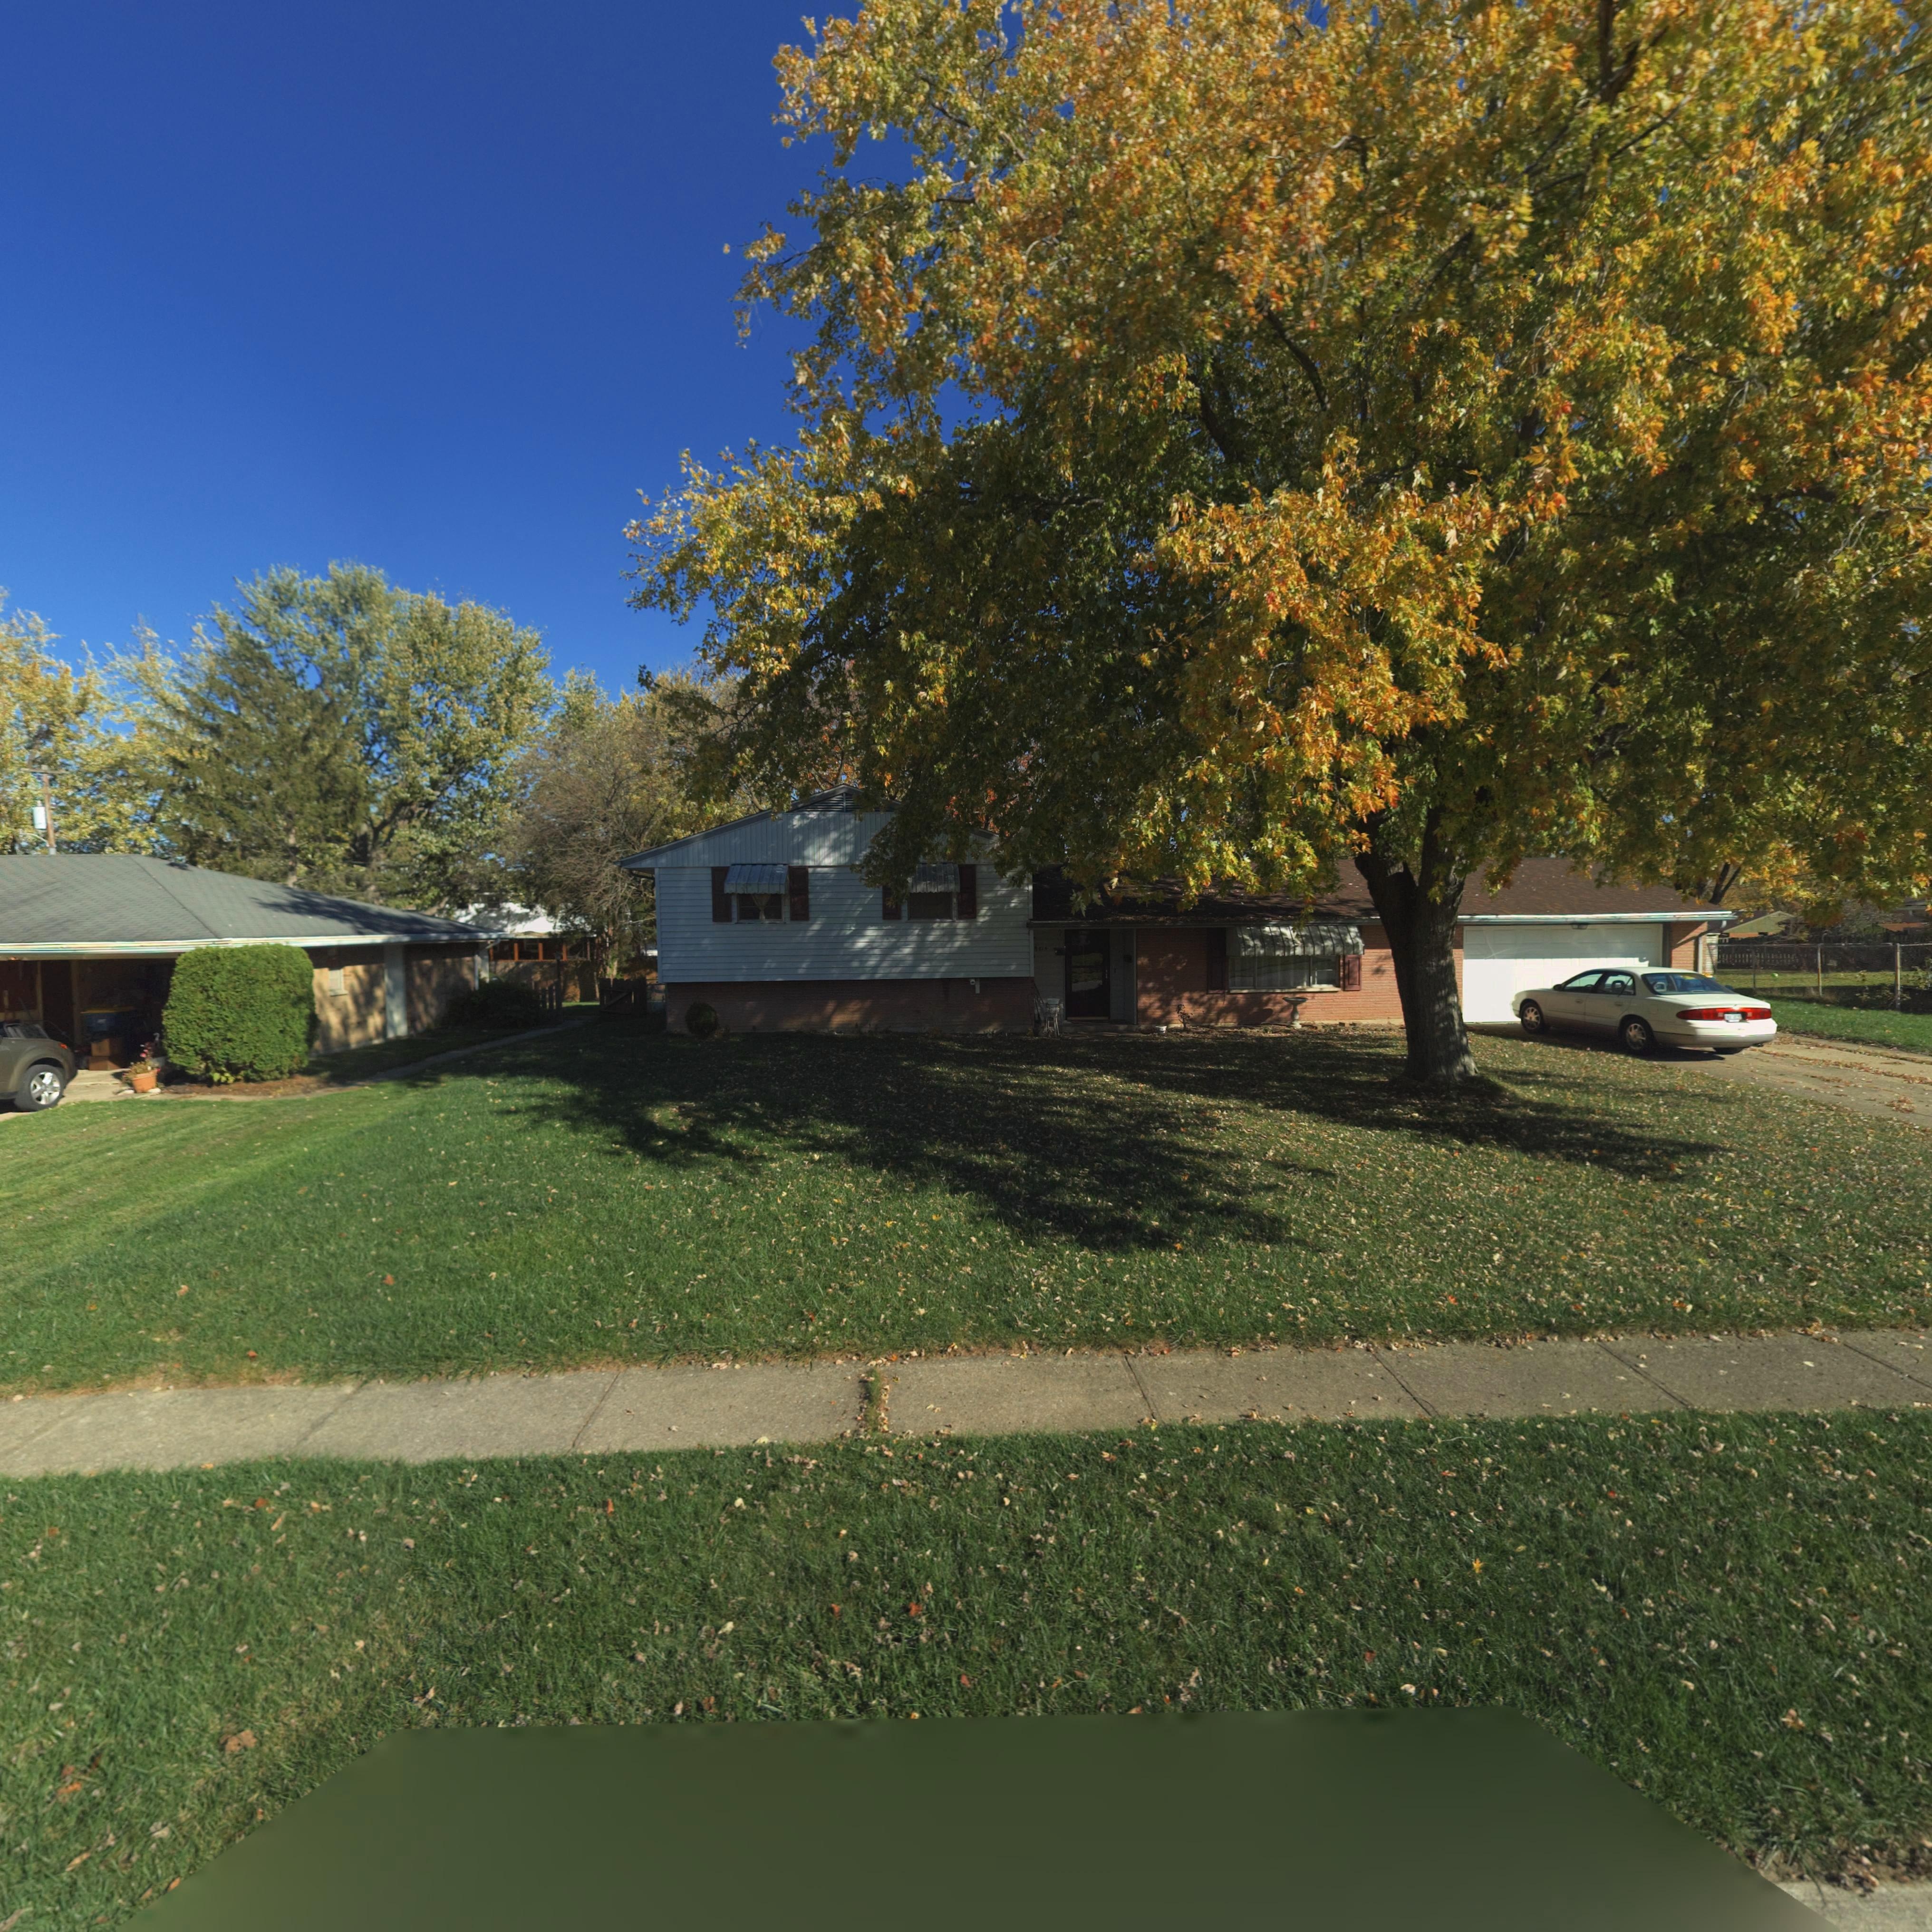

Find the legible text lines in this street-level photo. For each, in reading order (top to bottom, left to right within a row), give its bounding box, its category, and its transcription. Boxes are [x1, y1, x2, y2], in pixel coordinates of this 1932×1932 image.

[1034, 946, 1048, 951] StreetNumber: 6814